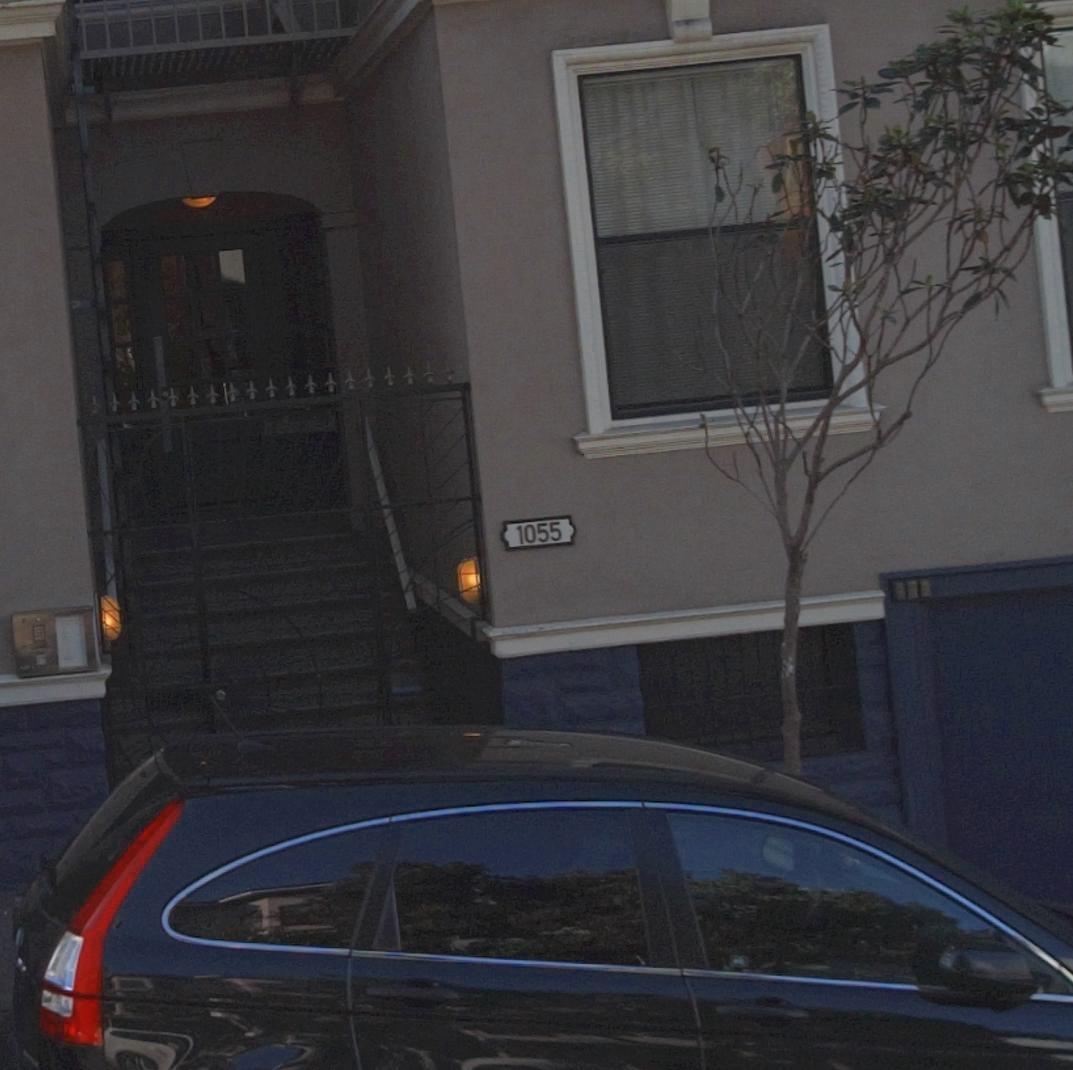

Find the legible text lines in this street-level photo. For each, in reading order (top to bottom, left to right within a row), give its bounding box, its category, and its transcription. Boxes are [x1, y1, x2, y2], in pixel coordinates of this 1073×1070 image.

[514, 519, 567, 549] StreetNumber: 1055